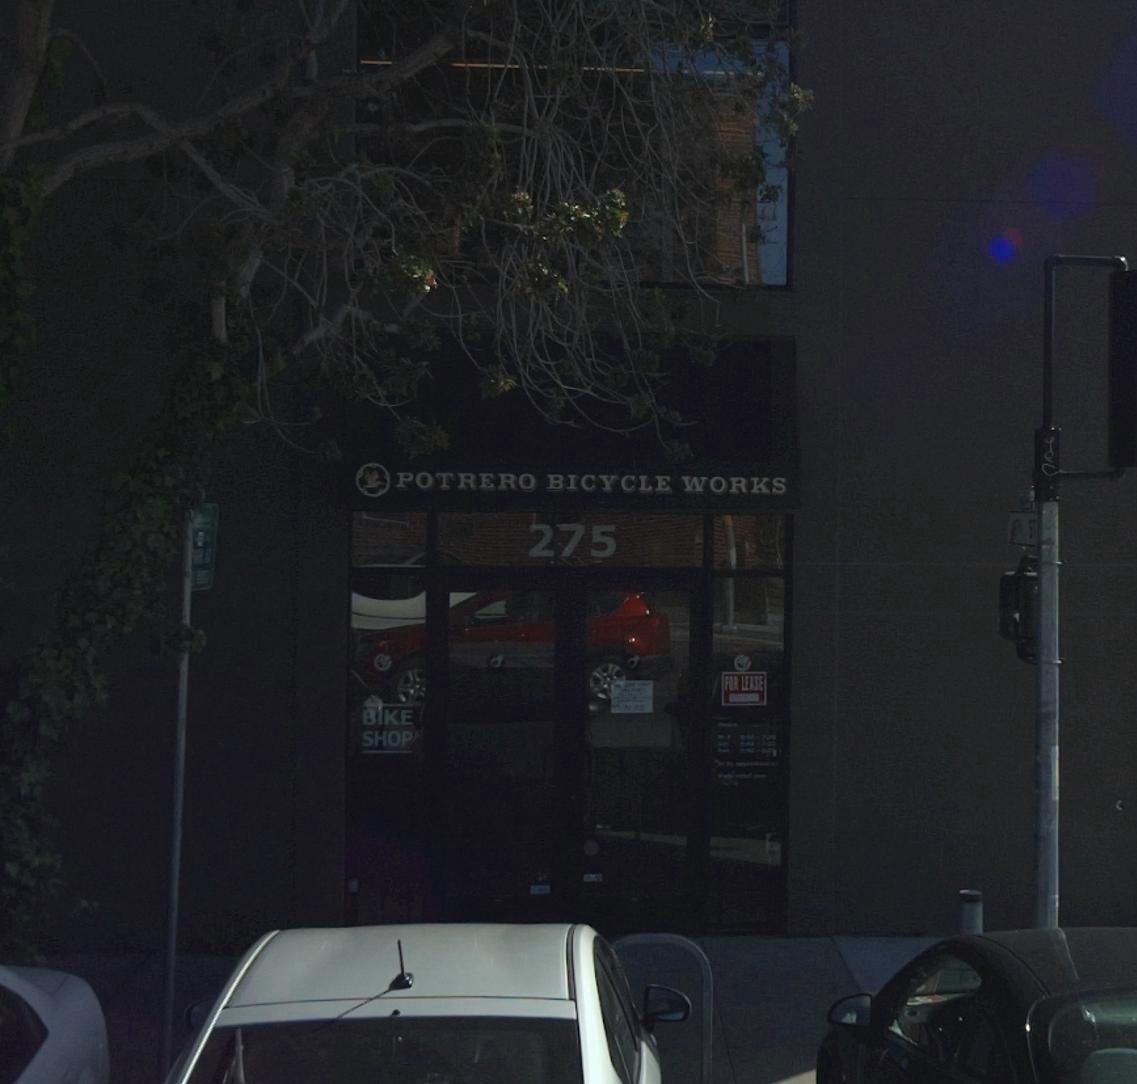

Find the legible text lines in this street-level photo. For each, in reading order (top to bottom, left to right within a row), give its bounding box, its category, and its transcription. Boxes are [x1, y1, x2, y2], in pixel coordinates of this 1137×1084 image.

[392, 468, 790, 498] BusinessName: POTRERO BICYCLE WORKS
[526, 521, 619, 560] StreetNumber: 275
[722, 673, 766, 693] None: FOR LEASE
[360, 707, 415, 727] None: BIKE
[360, 727, 415, 749] None: SHOP